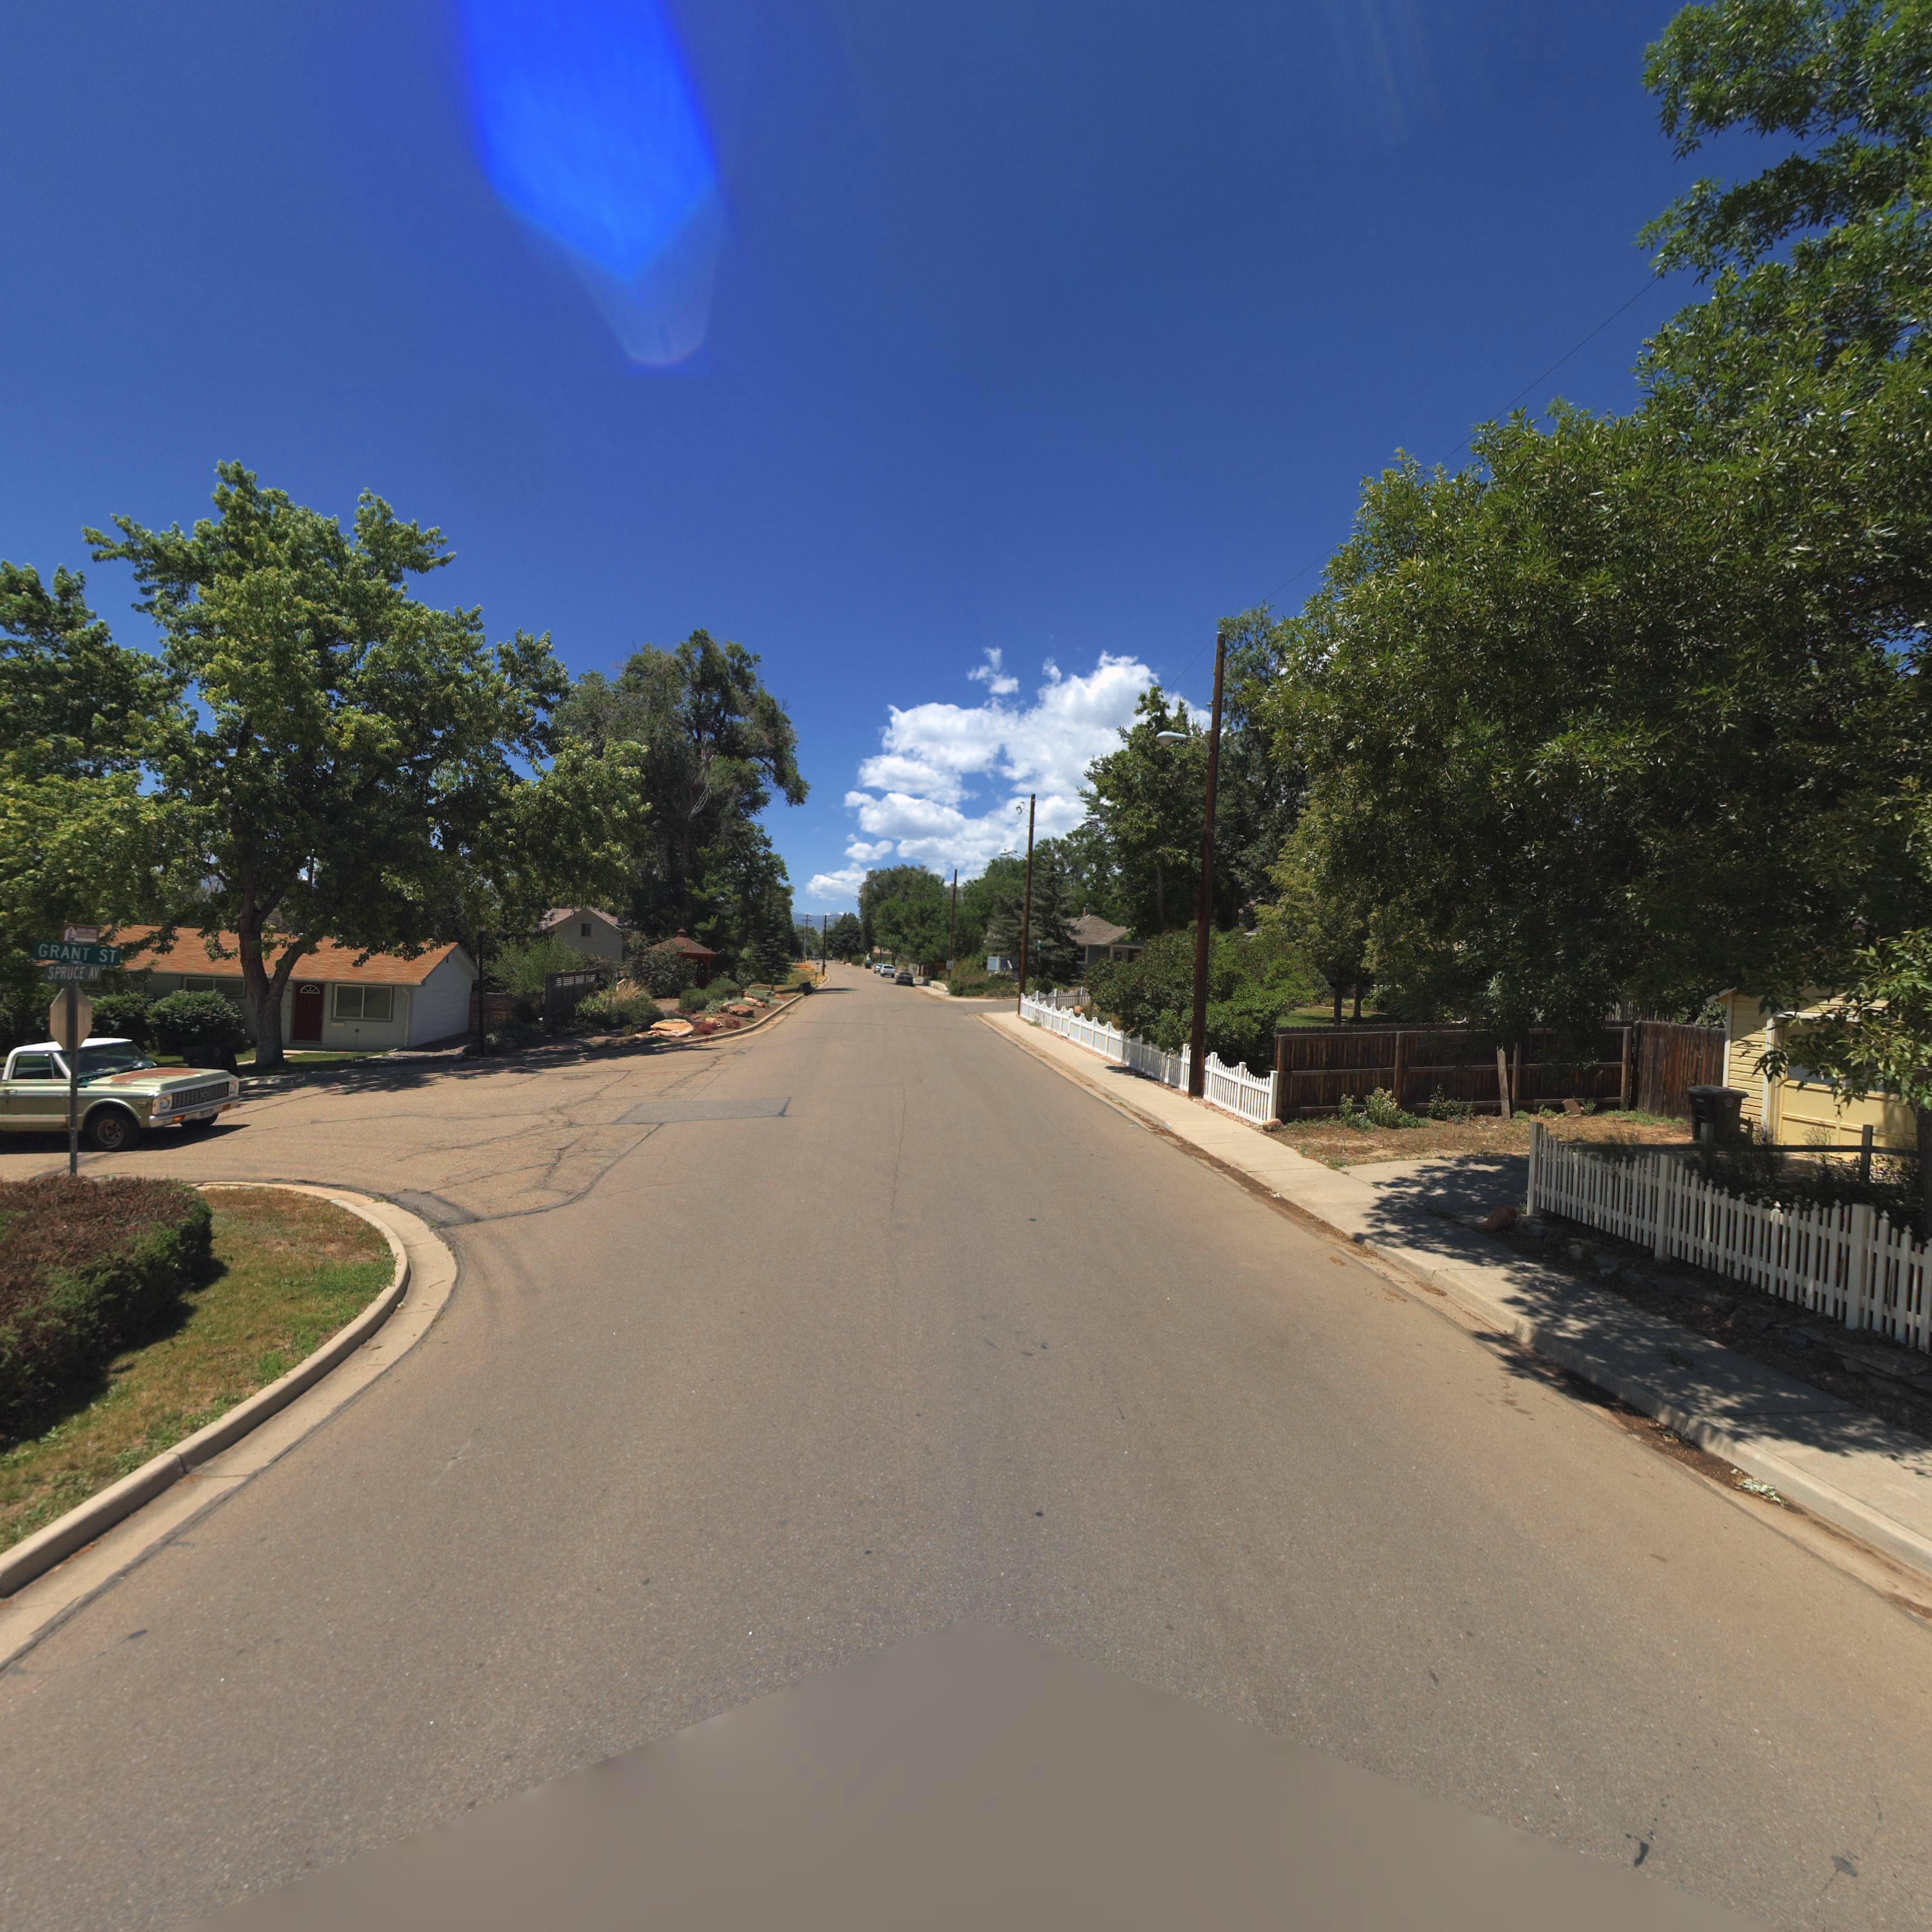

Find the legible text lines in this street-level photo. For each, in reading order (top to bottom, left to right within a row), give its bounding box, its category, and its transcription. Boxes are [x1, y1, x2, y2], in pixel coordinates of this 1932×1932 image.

[38, 943, 117, 963] StreetName: GRANT ST
[47, 965, 100, 979] StreetName: SPRUCE AV